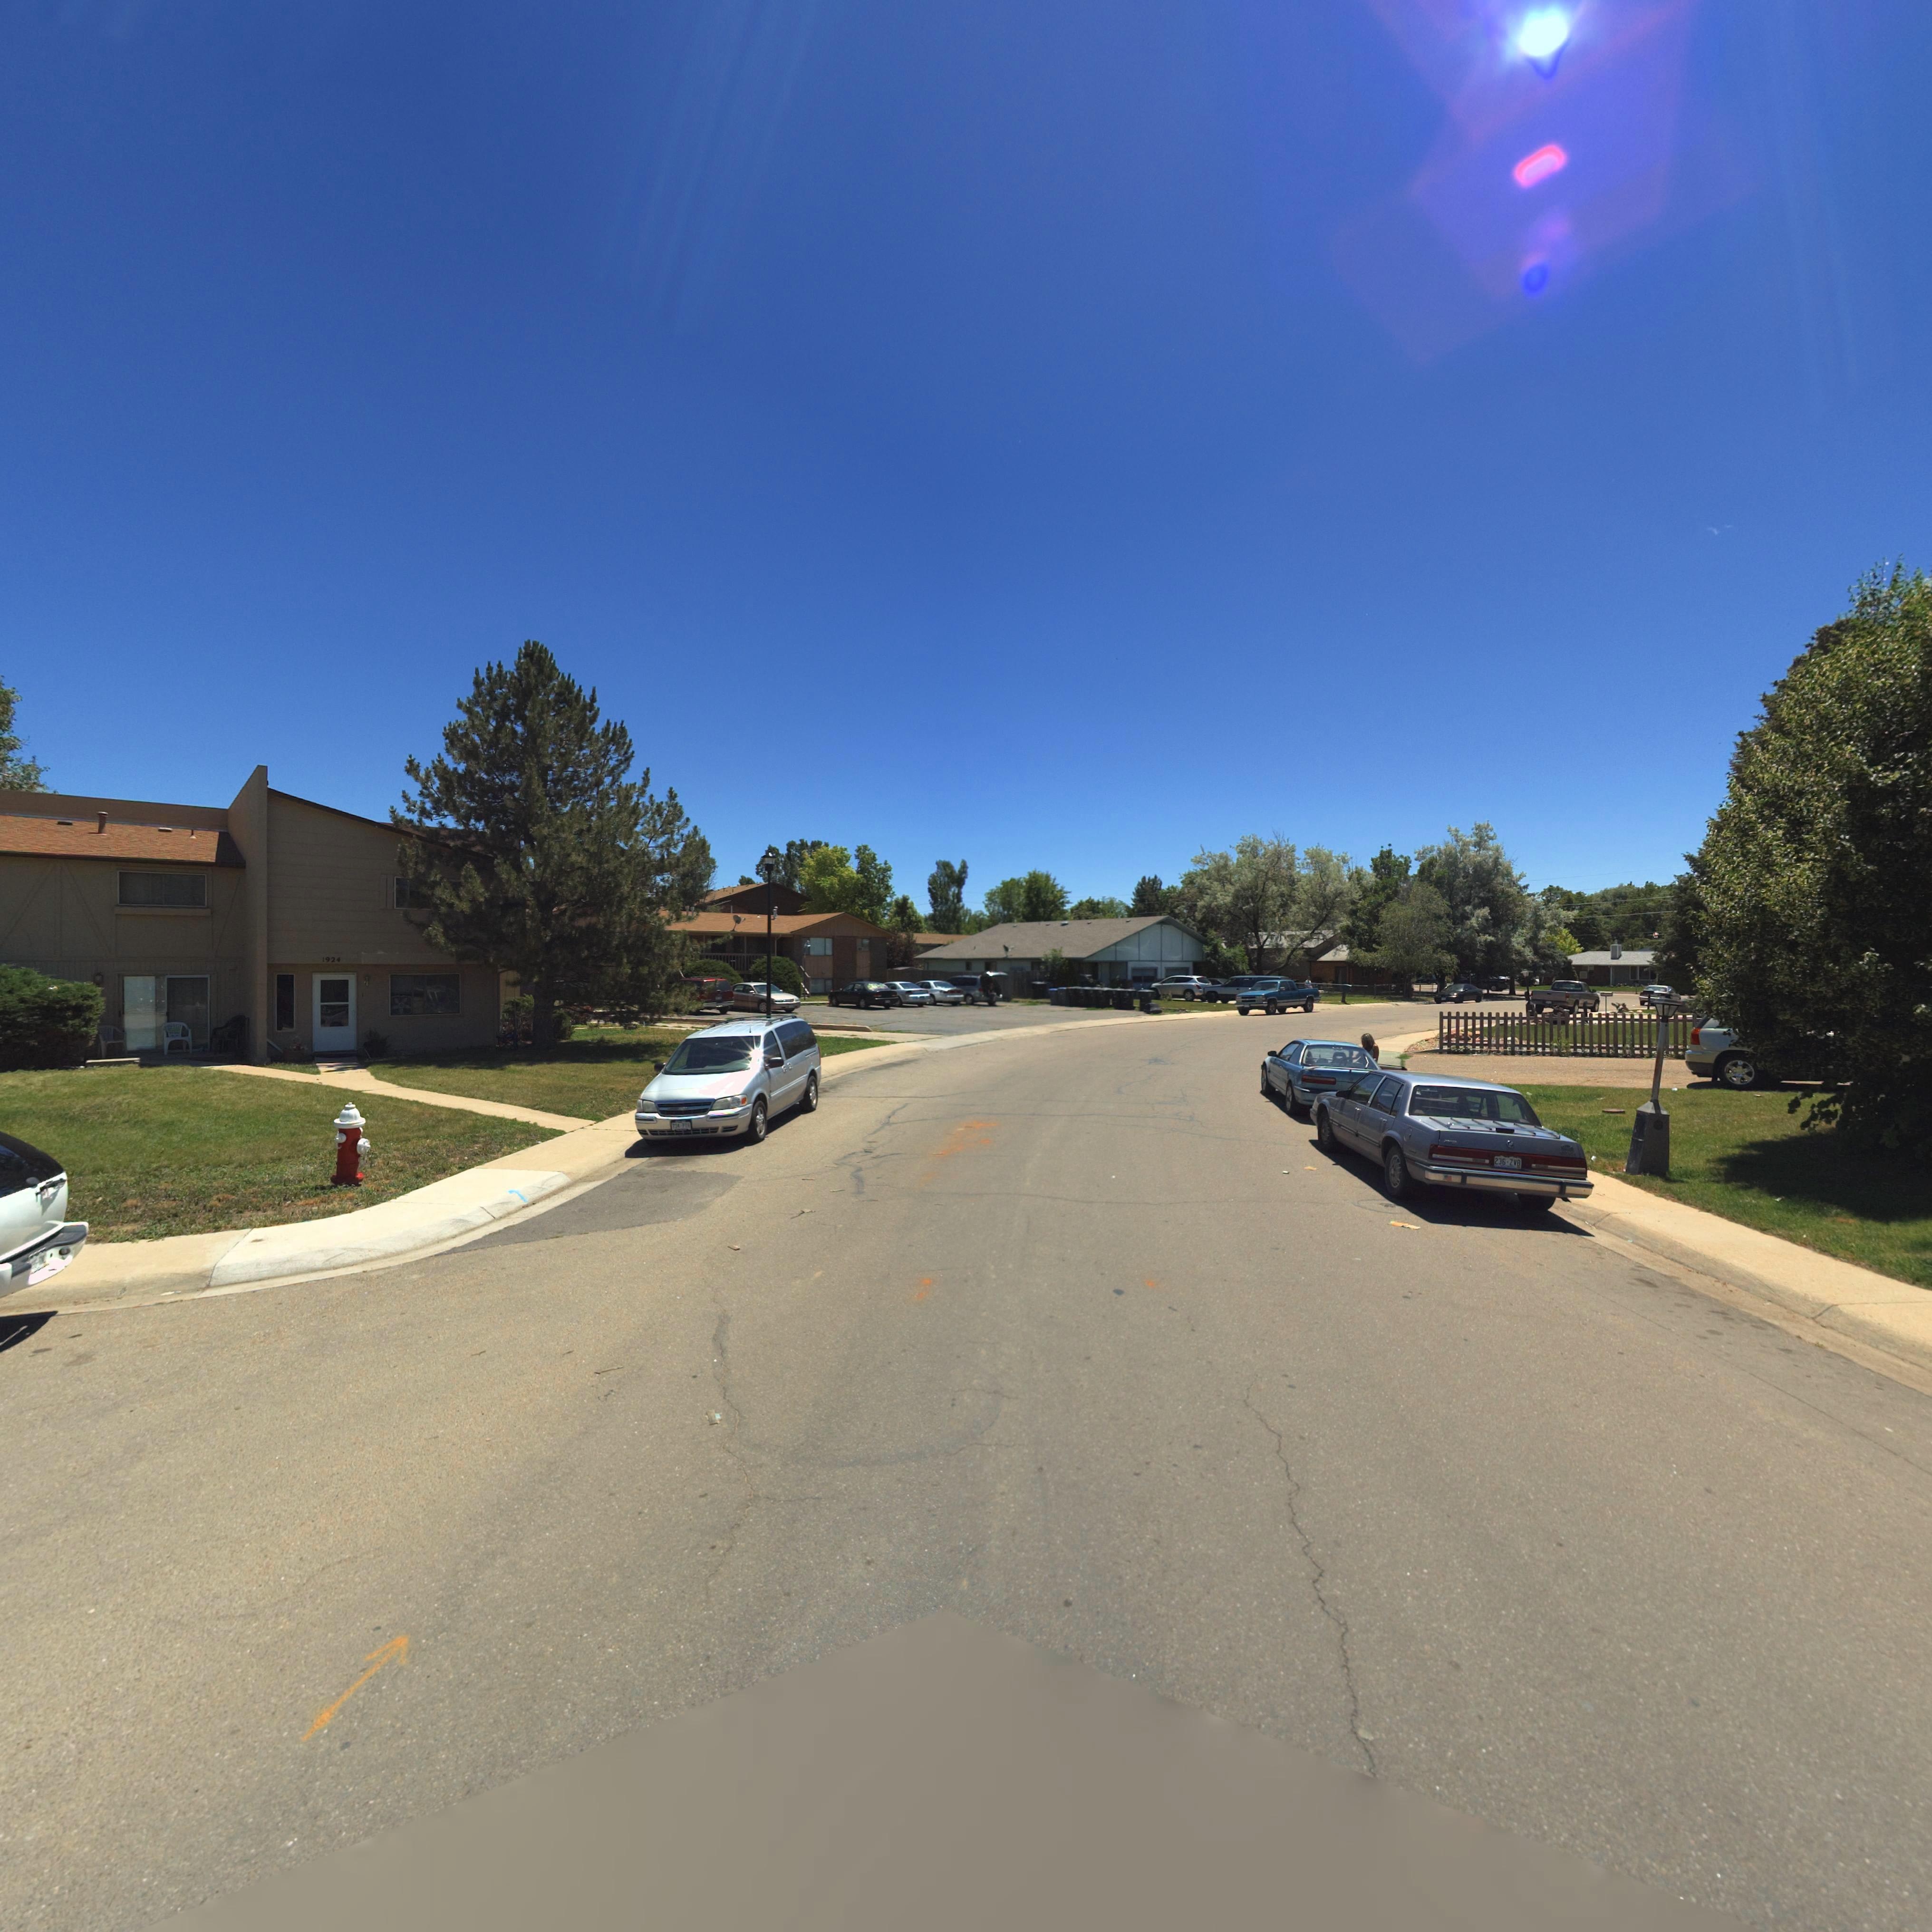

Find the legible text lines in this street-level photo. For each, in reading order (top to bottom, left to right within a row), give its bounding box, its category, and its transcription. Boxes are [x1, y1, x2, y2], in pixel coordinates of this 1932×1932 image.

[322, 956, 340, 963] StreetNumber: 1924
[361, 992, 363, 997] StreetNumber: 1